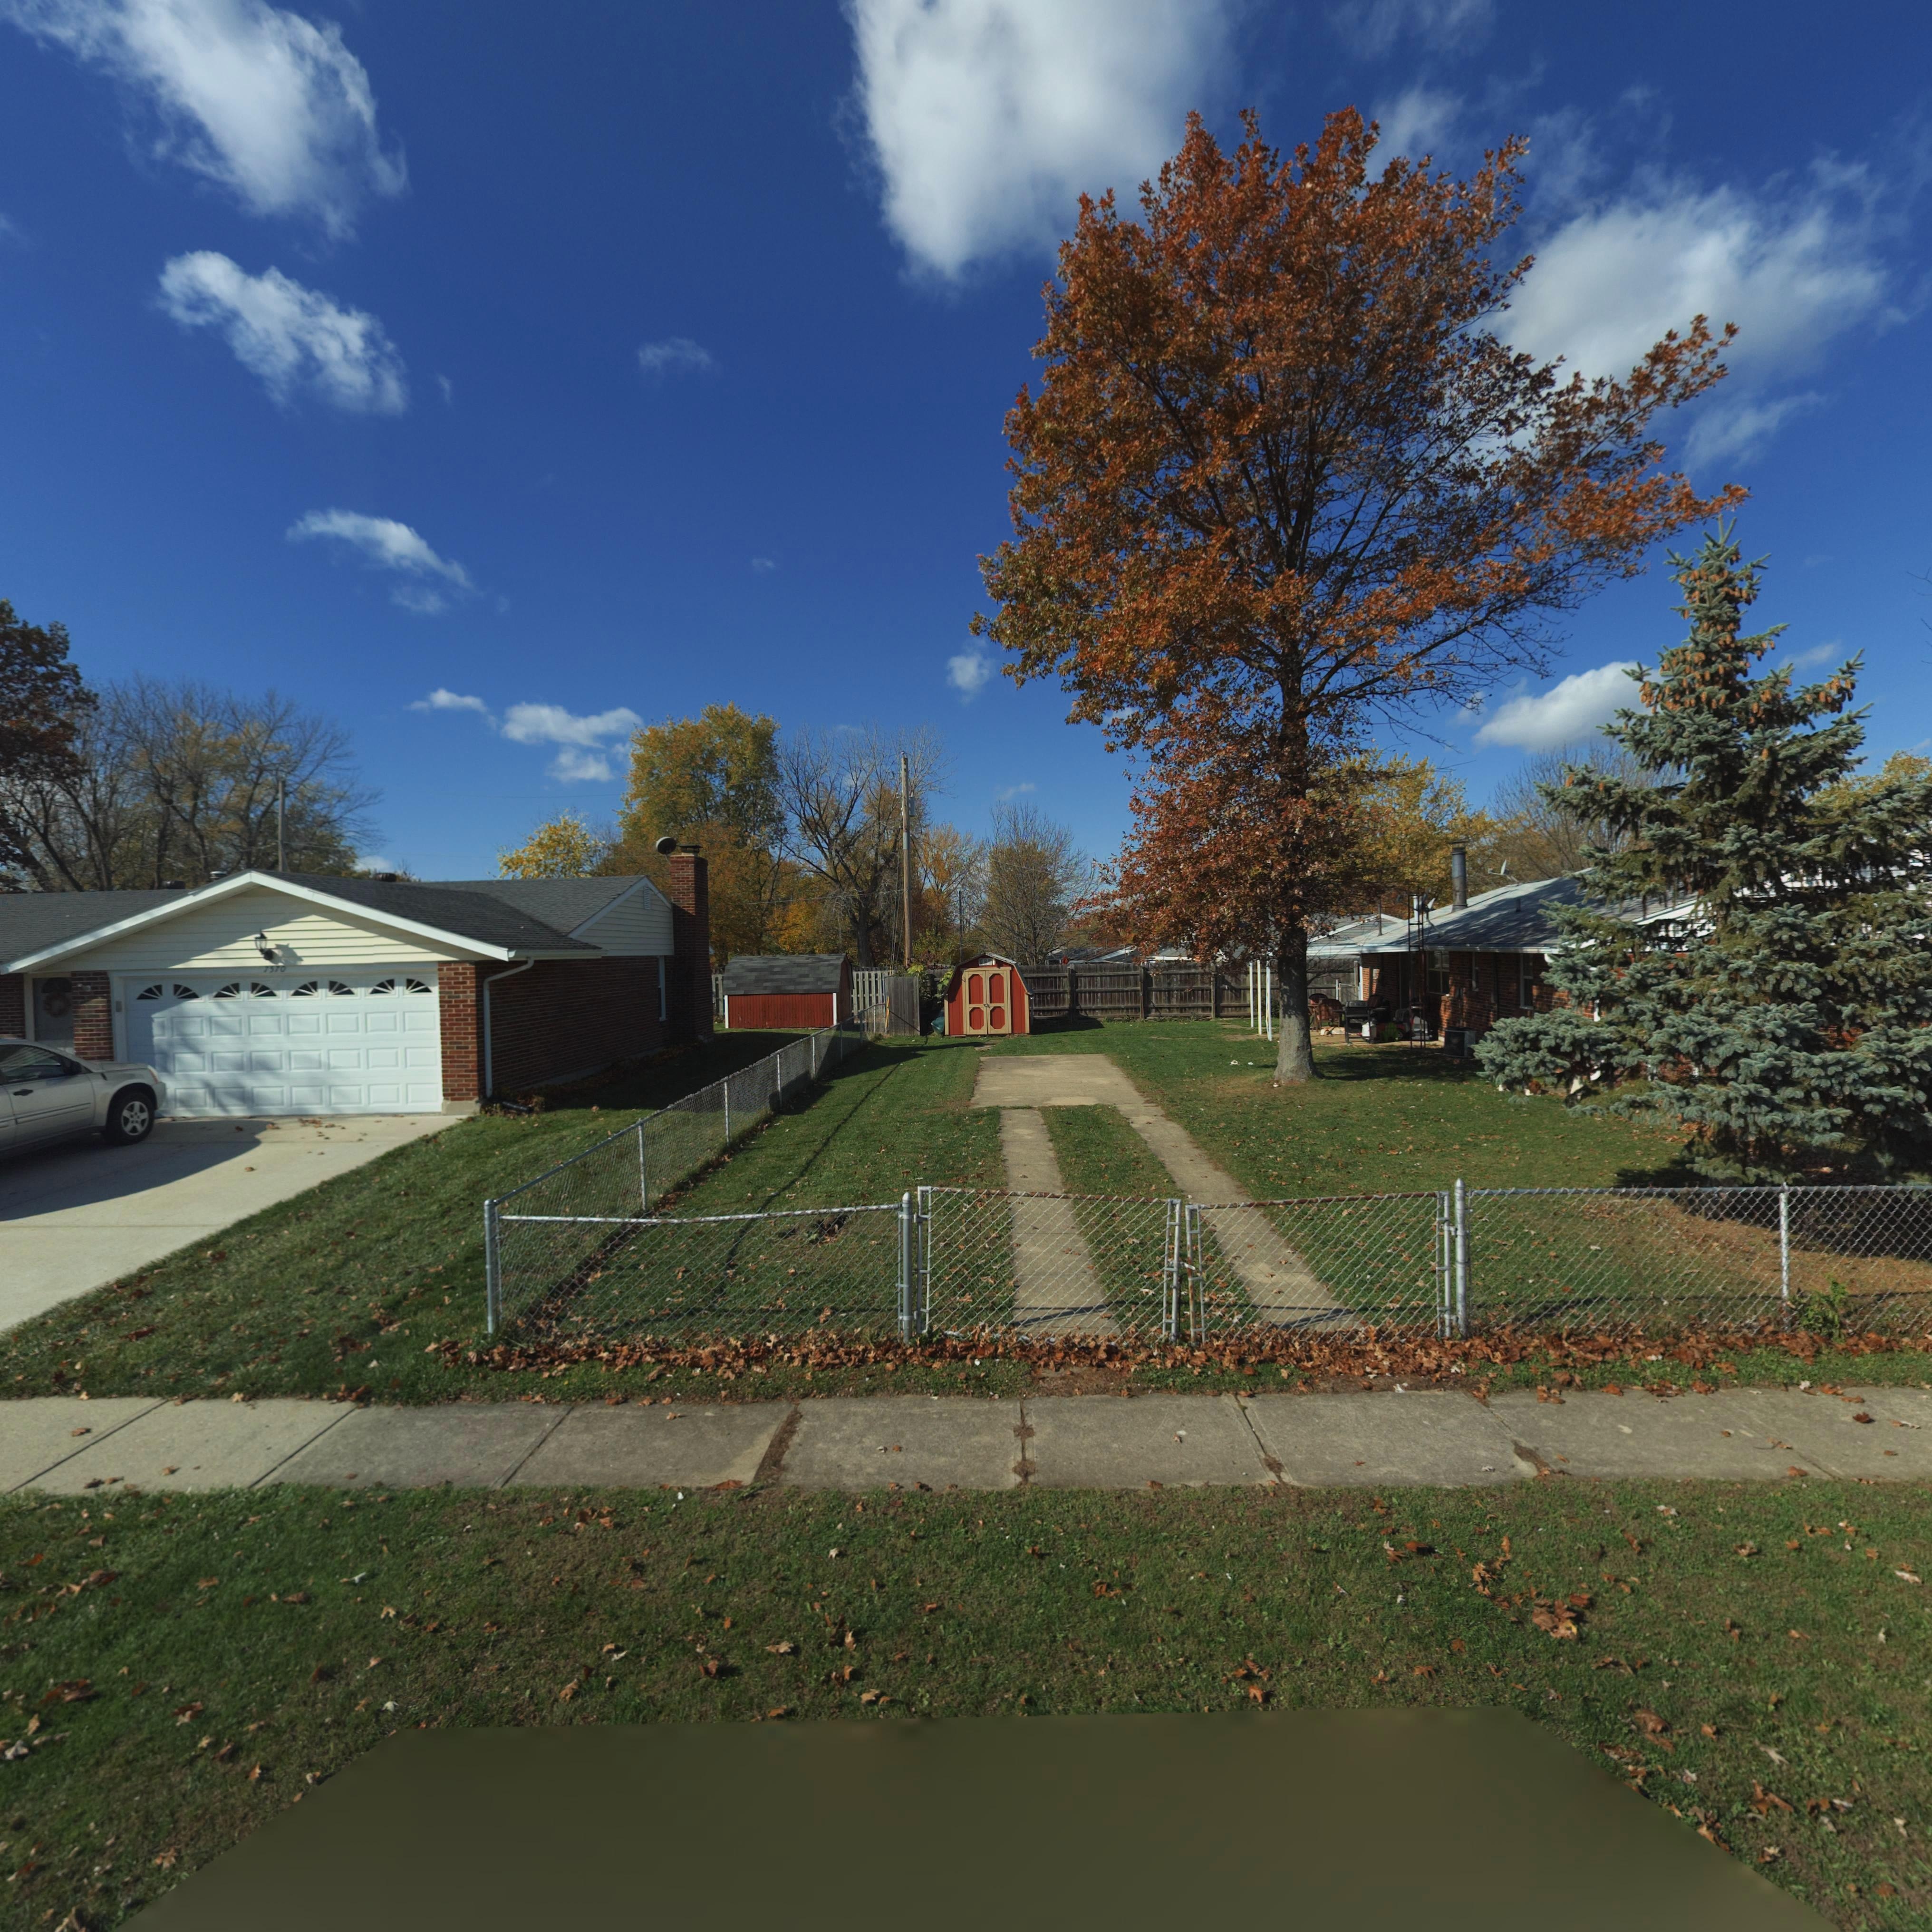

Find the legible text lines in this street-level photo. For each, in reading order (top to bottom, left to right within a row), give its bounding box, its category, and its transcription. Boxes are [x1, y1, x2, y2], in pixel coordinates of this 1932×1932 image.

[262, 965, 288, 974] StreetNumber: 7570